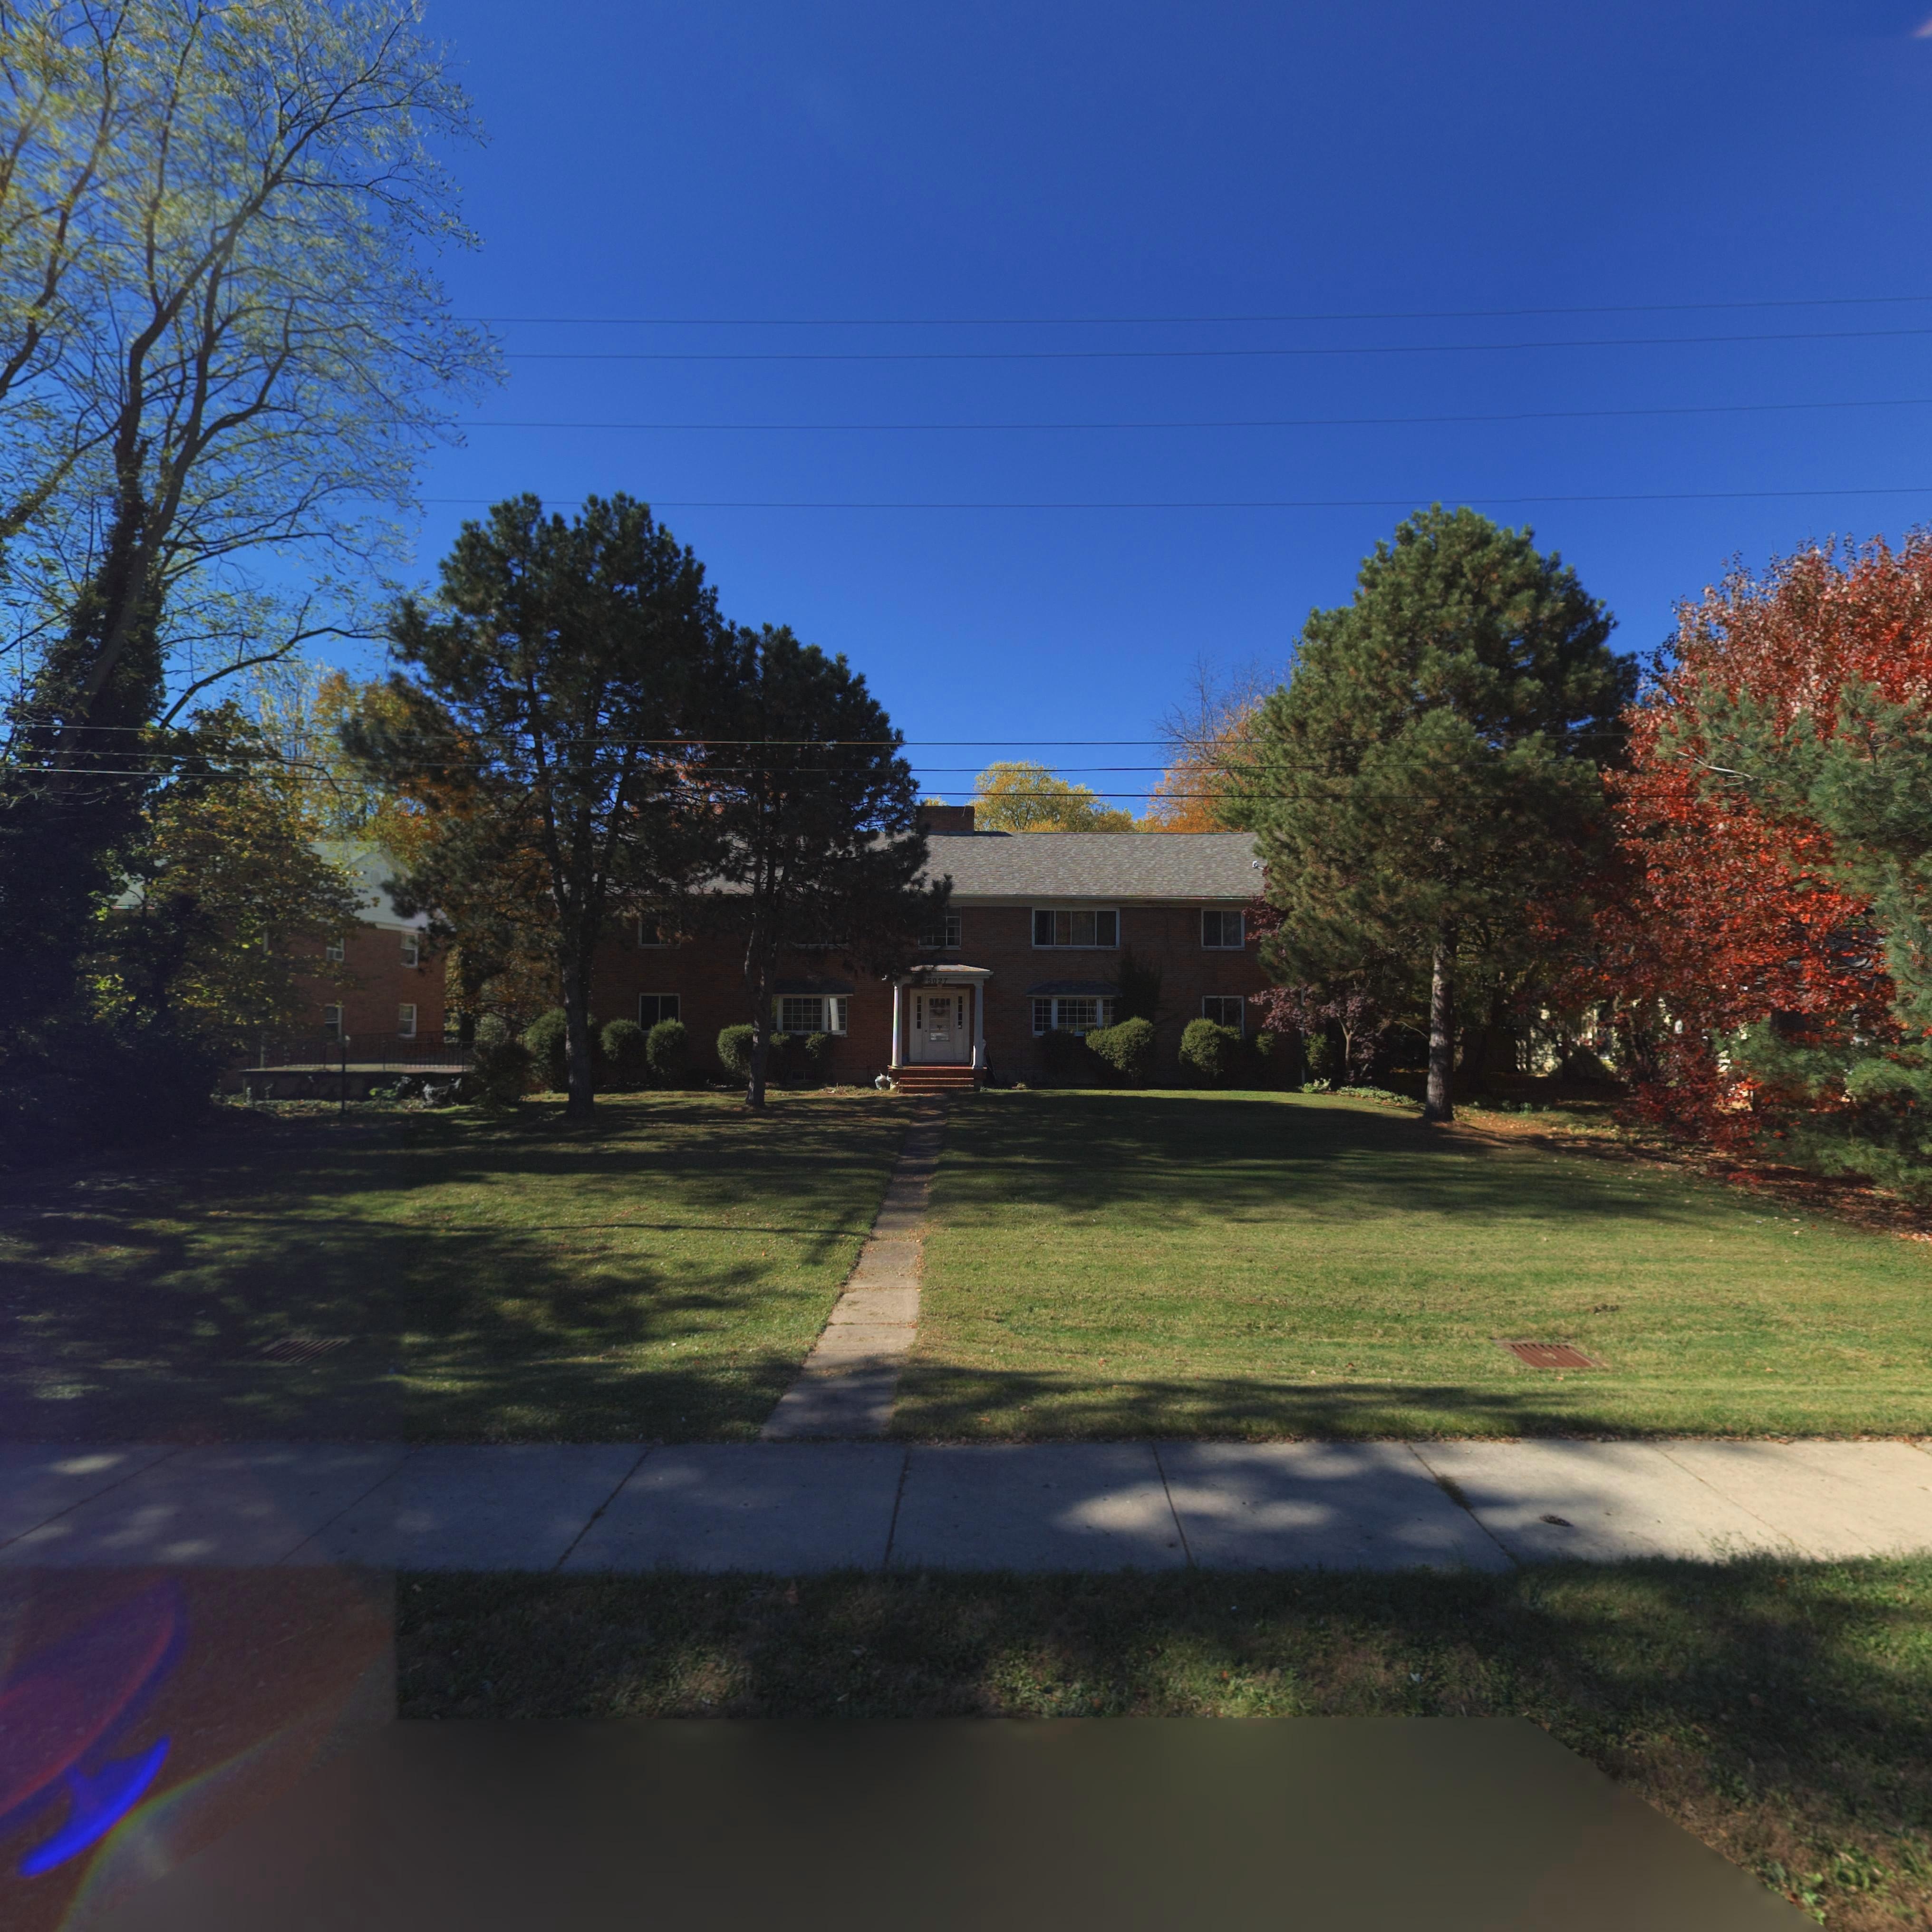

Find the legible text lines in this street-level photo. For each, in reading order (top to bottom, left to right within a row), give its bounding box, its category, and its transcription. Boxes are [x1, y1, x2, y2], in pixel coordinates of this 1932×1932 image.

[927, 977, 948, 984] StreetNumber: 5027